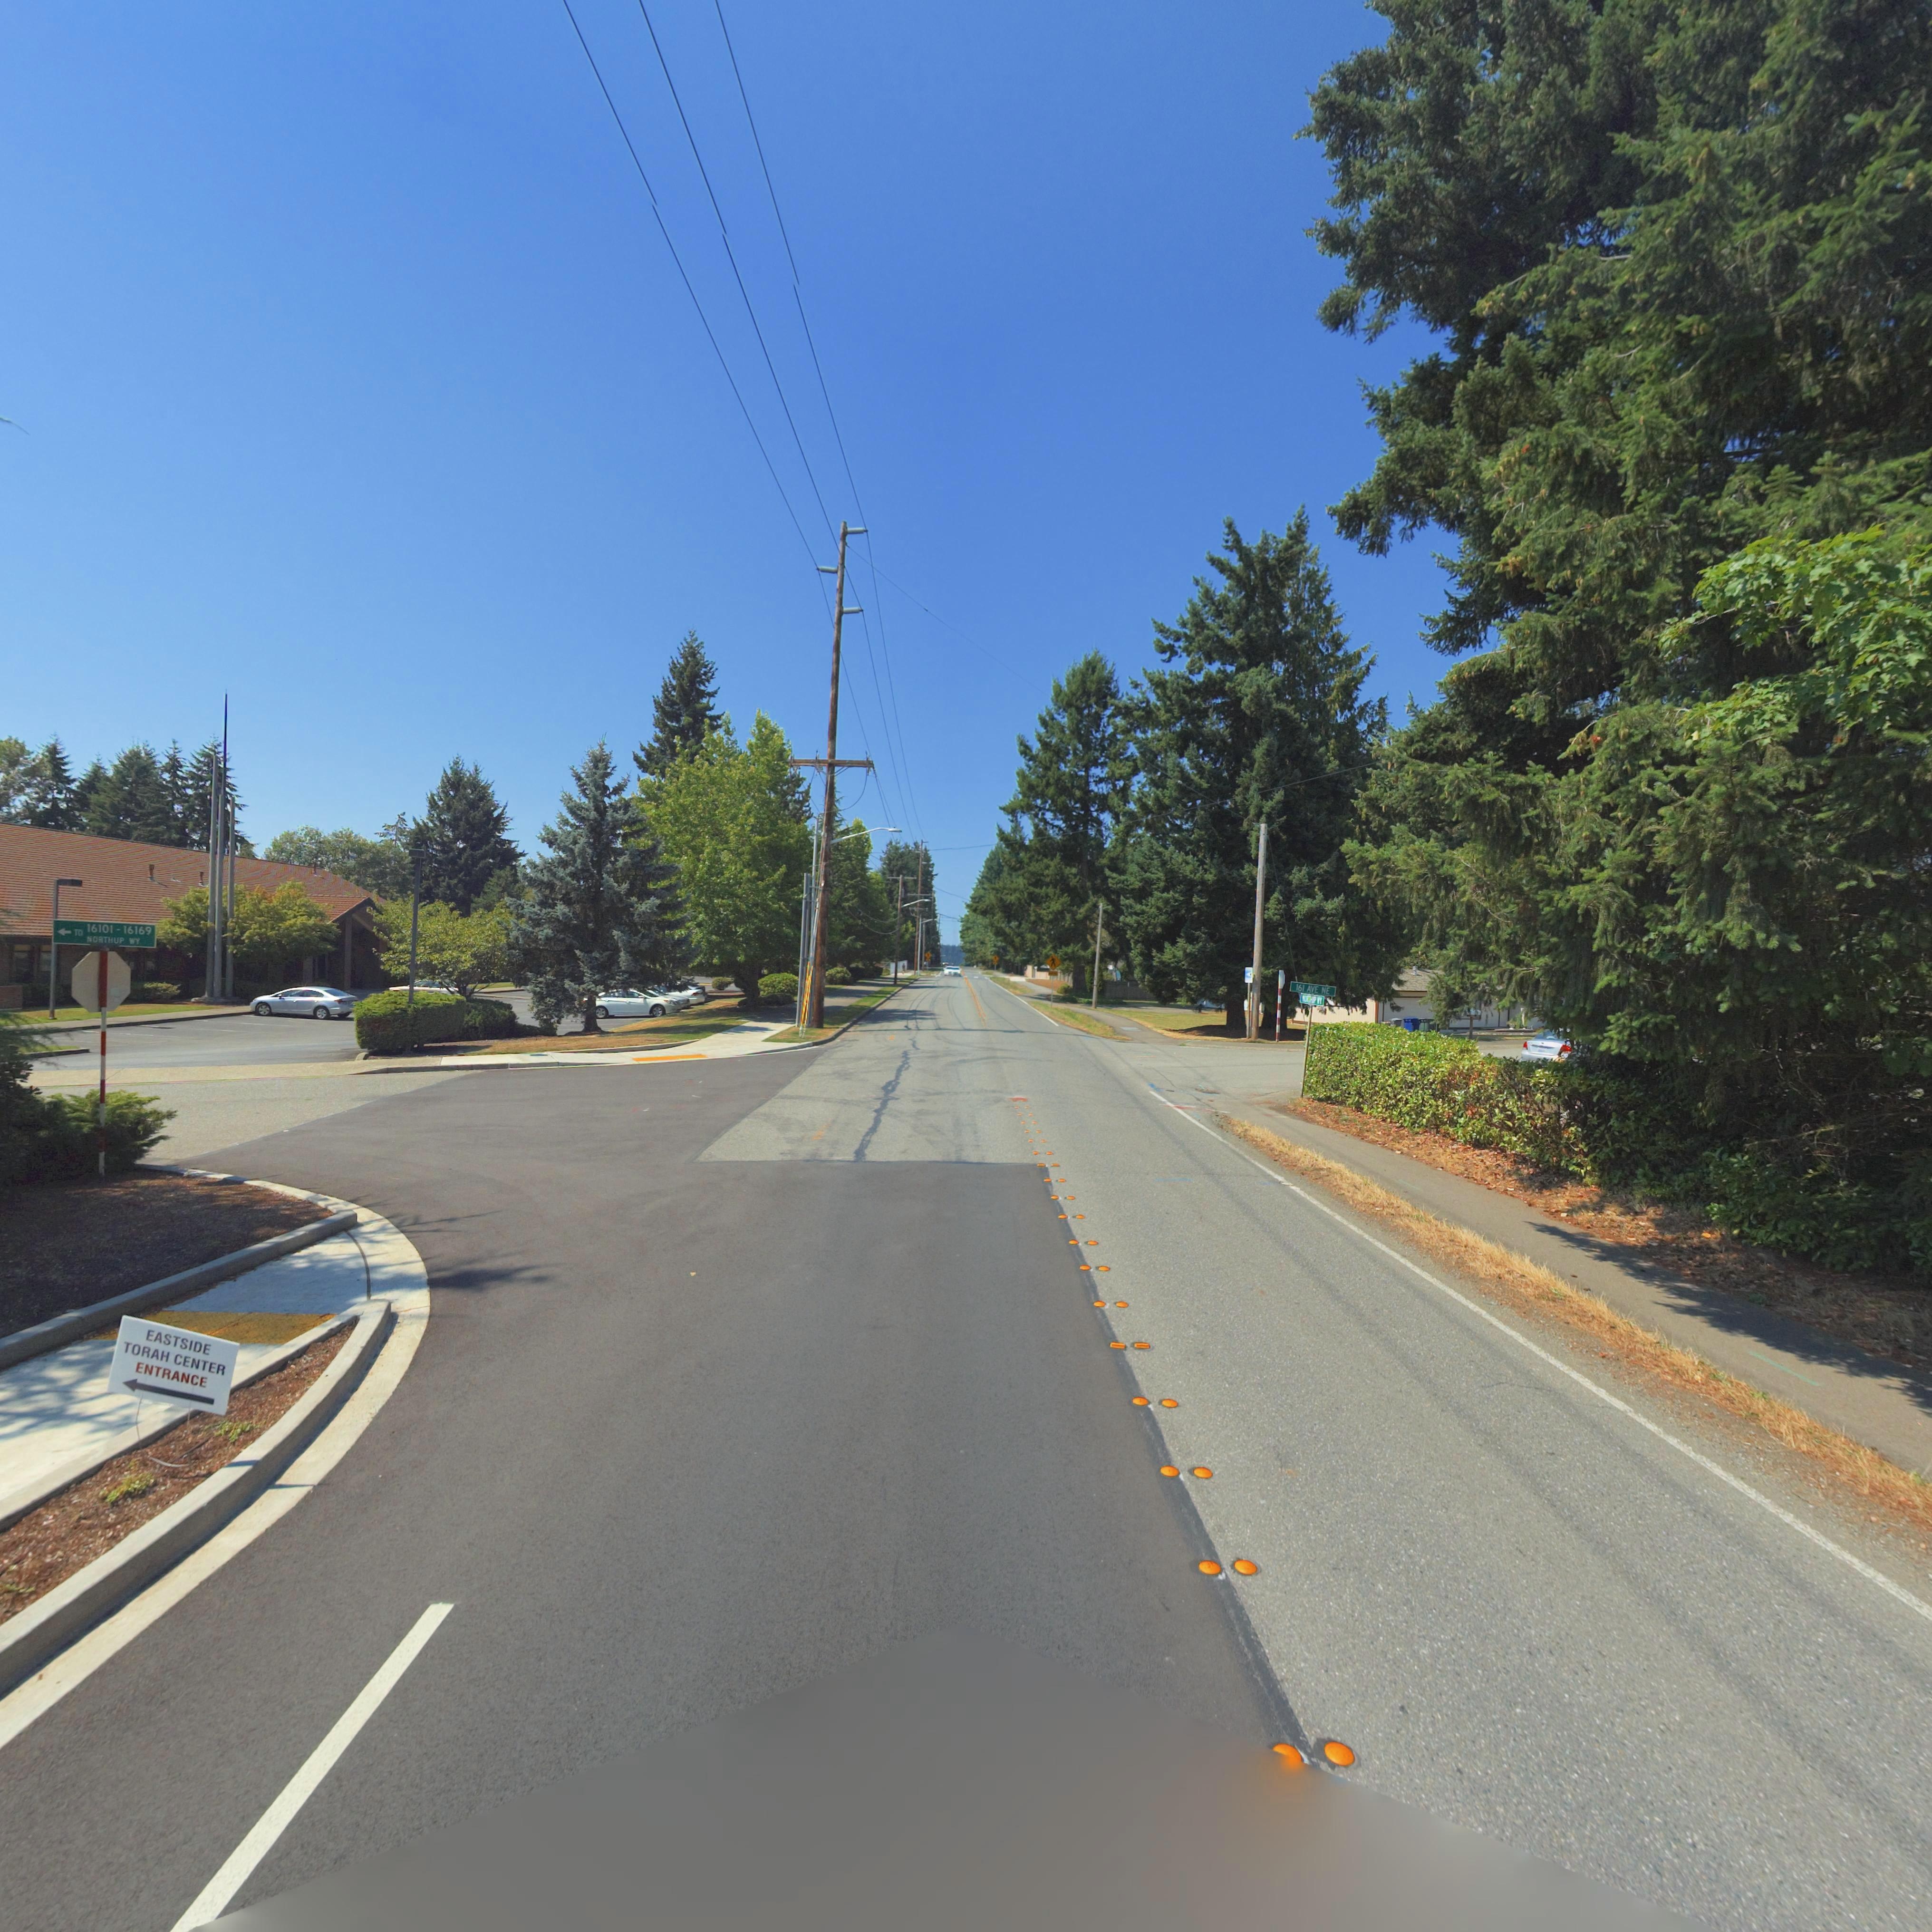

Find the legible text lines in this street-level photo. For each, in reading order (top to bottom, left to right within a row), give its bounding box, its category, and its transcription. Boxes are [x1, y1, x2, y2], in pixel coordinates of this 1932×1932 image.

[87, 923, 153, 934] StreetNumber: 16101-16169
[87, 935, 140, 945] StreetName: NORTHUP WY
[1296, 983, 1330, 994] StreetName: 161 AVE NE
[1302, 994, 1323, 1004] StreetName: NORTHUP WY